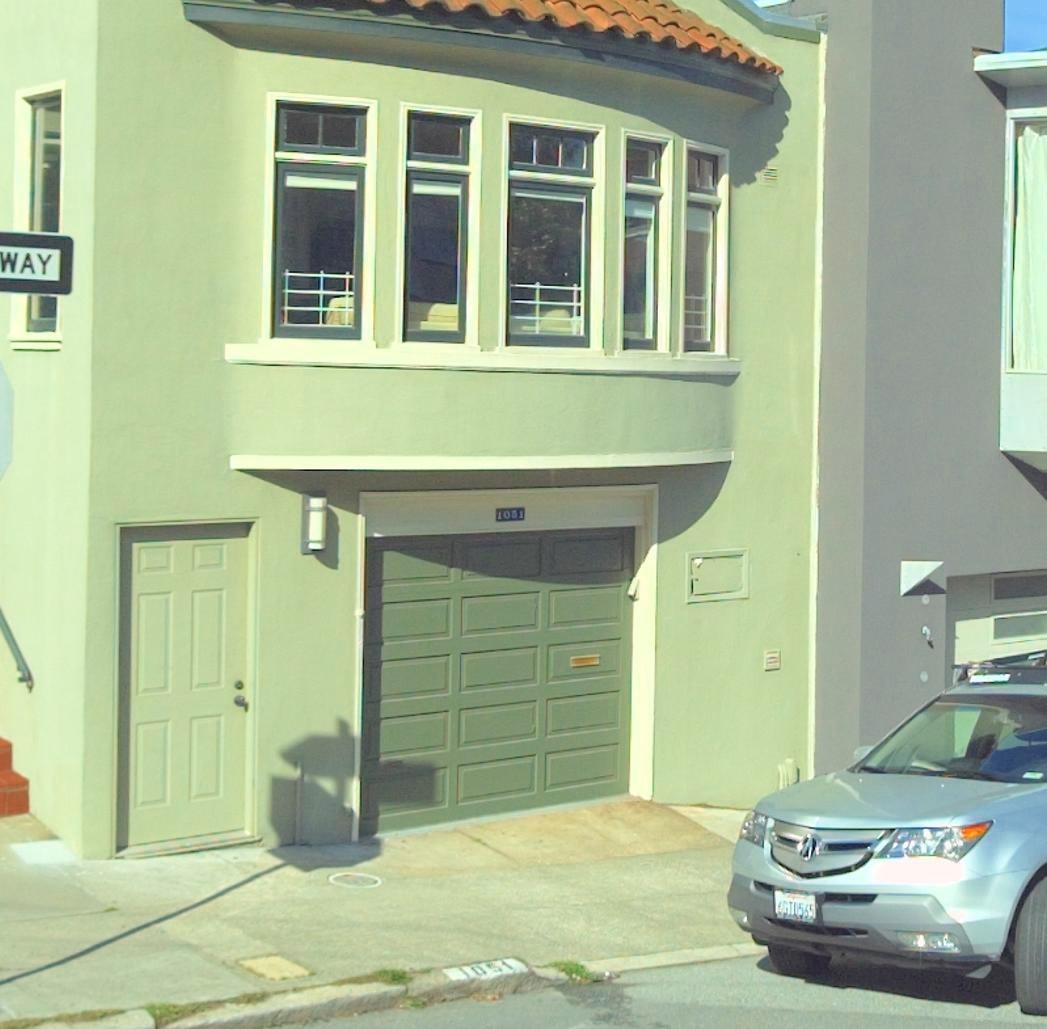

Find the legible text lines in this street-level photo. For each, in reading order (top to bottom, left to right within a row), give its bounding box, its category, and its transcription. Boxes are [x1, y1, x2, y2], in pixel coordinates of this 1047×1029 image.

[0, 250, 52, 278] None: WAY
[496, 509, 524, 521] StreetNumber: 1051
[774, 899, 817, 923] None: 6***565